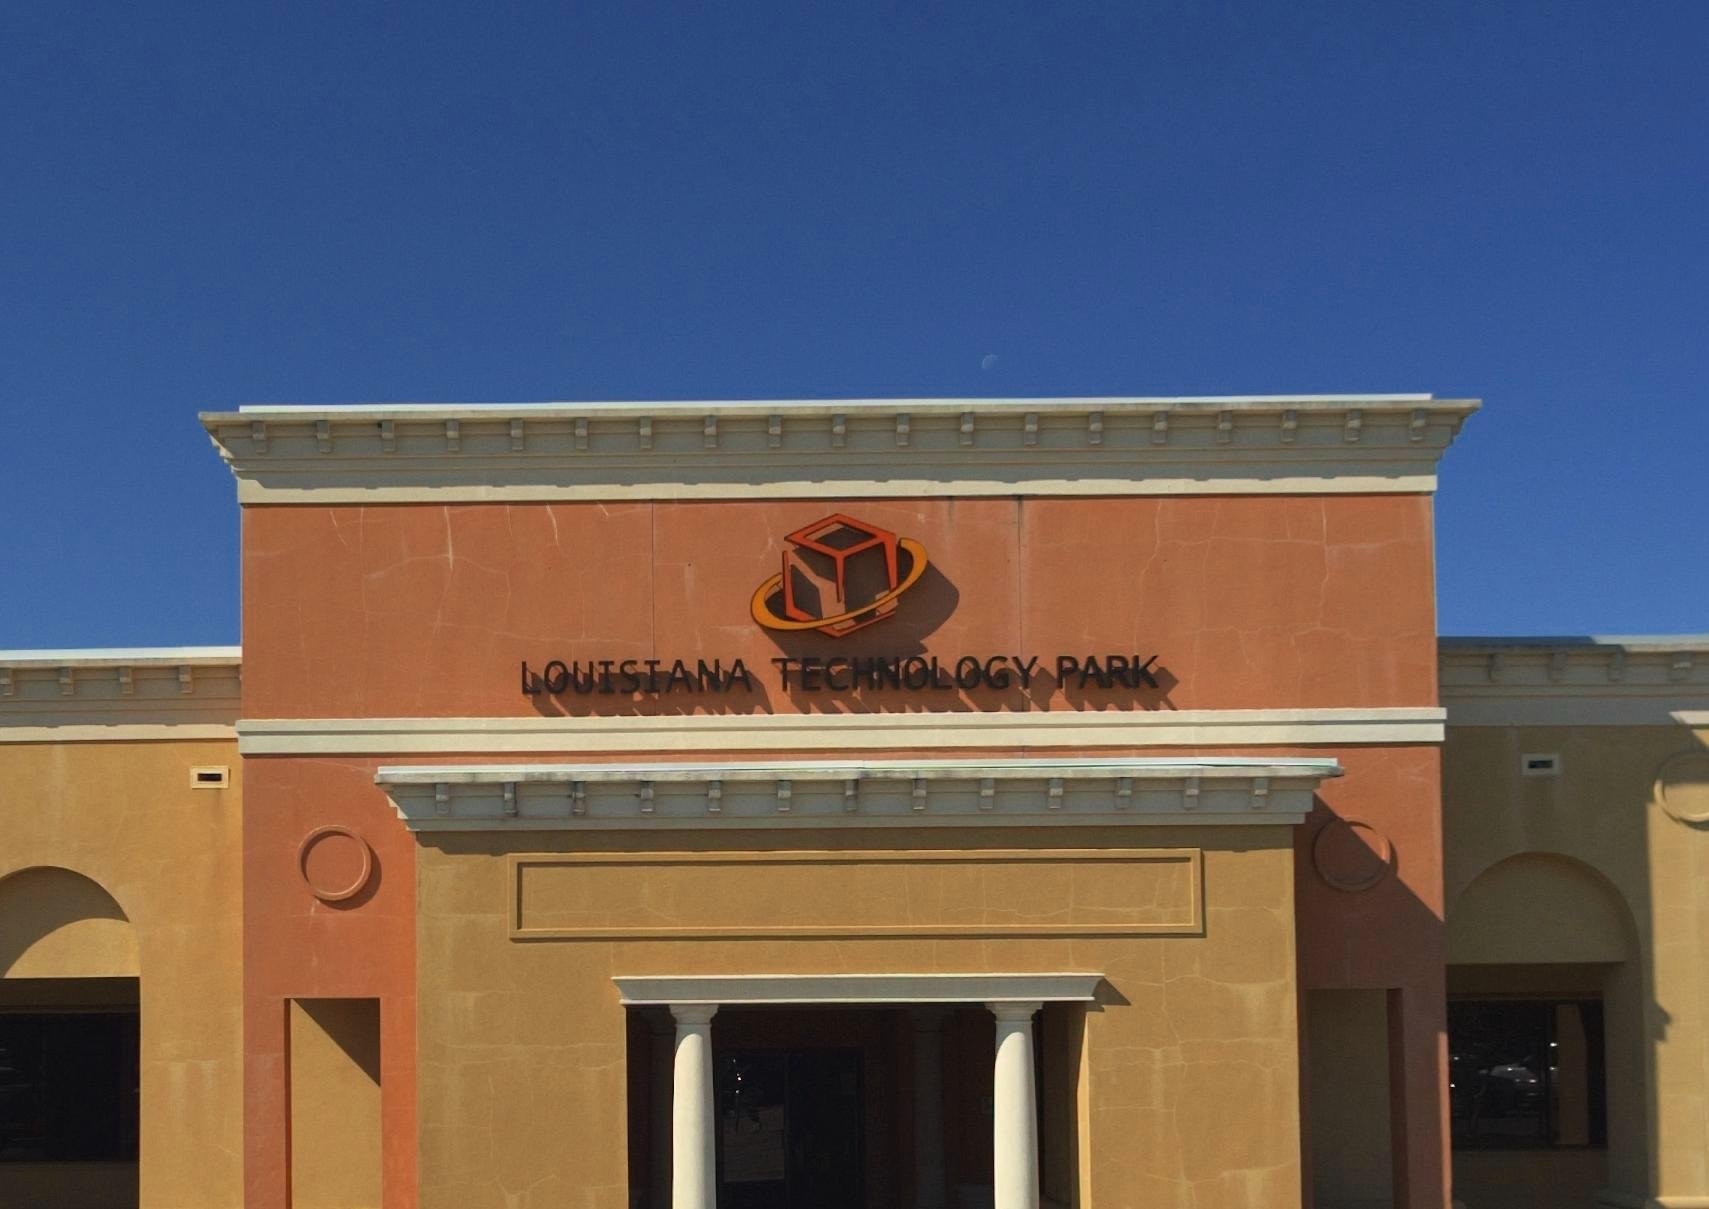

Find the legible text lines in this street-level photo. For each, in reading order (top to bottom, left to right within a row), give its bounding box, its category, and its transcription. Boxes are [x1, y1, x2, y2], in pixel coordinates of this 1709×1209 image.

[518, 652, 1163, 698] BusinessName: LOUISIANA TECHNOLOGY PARK